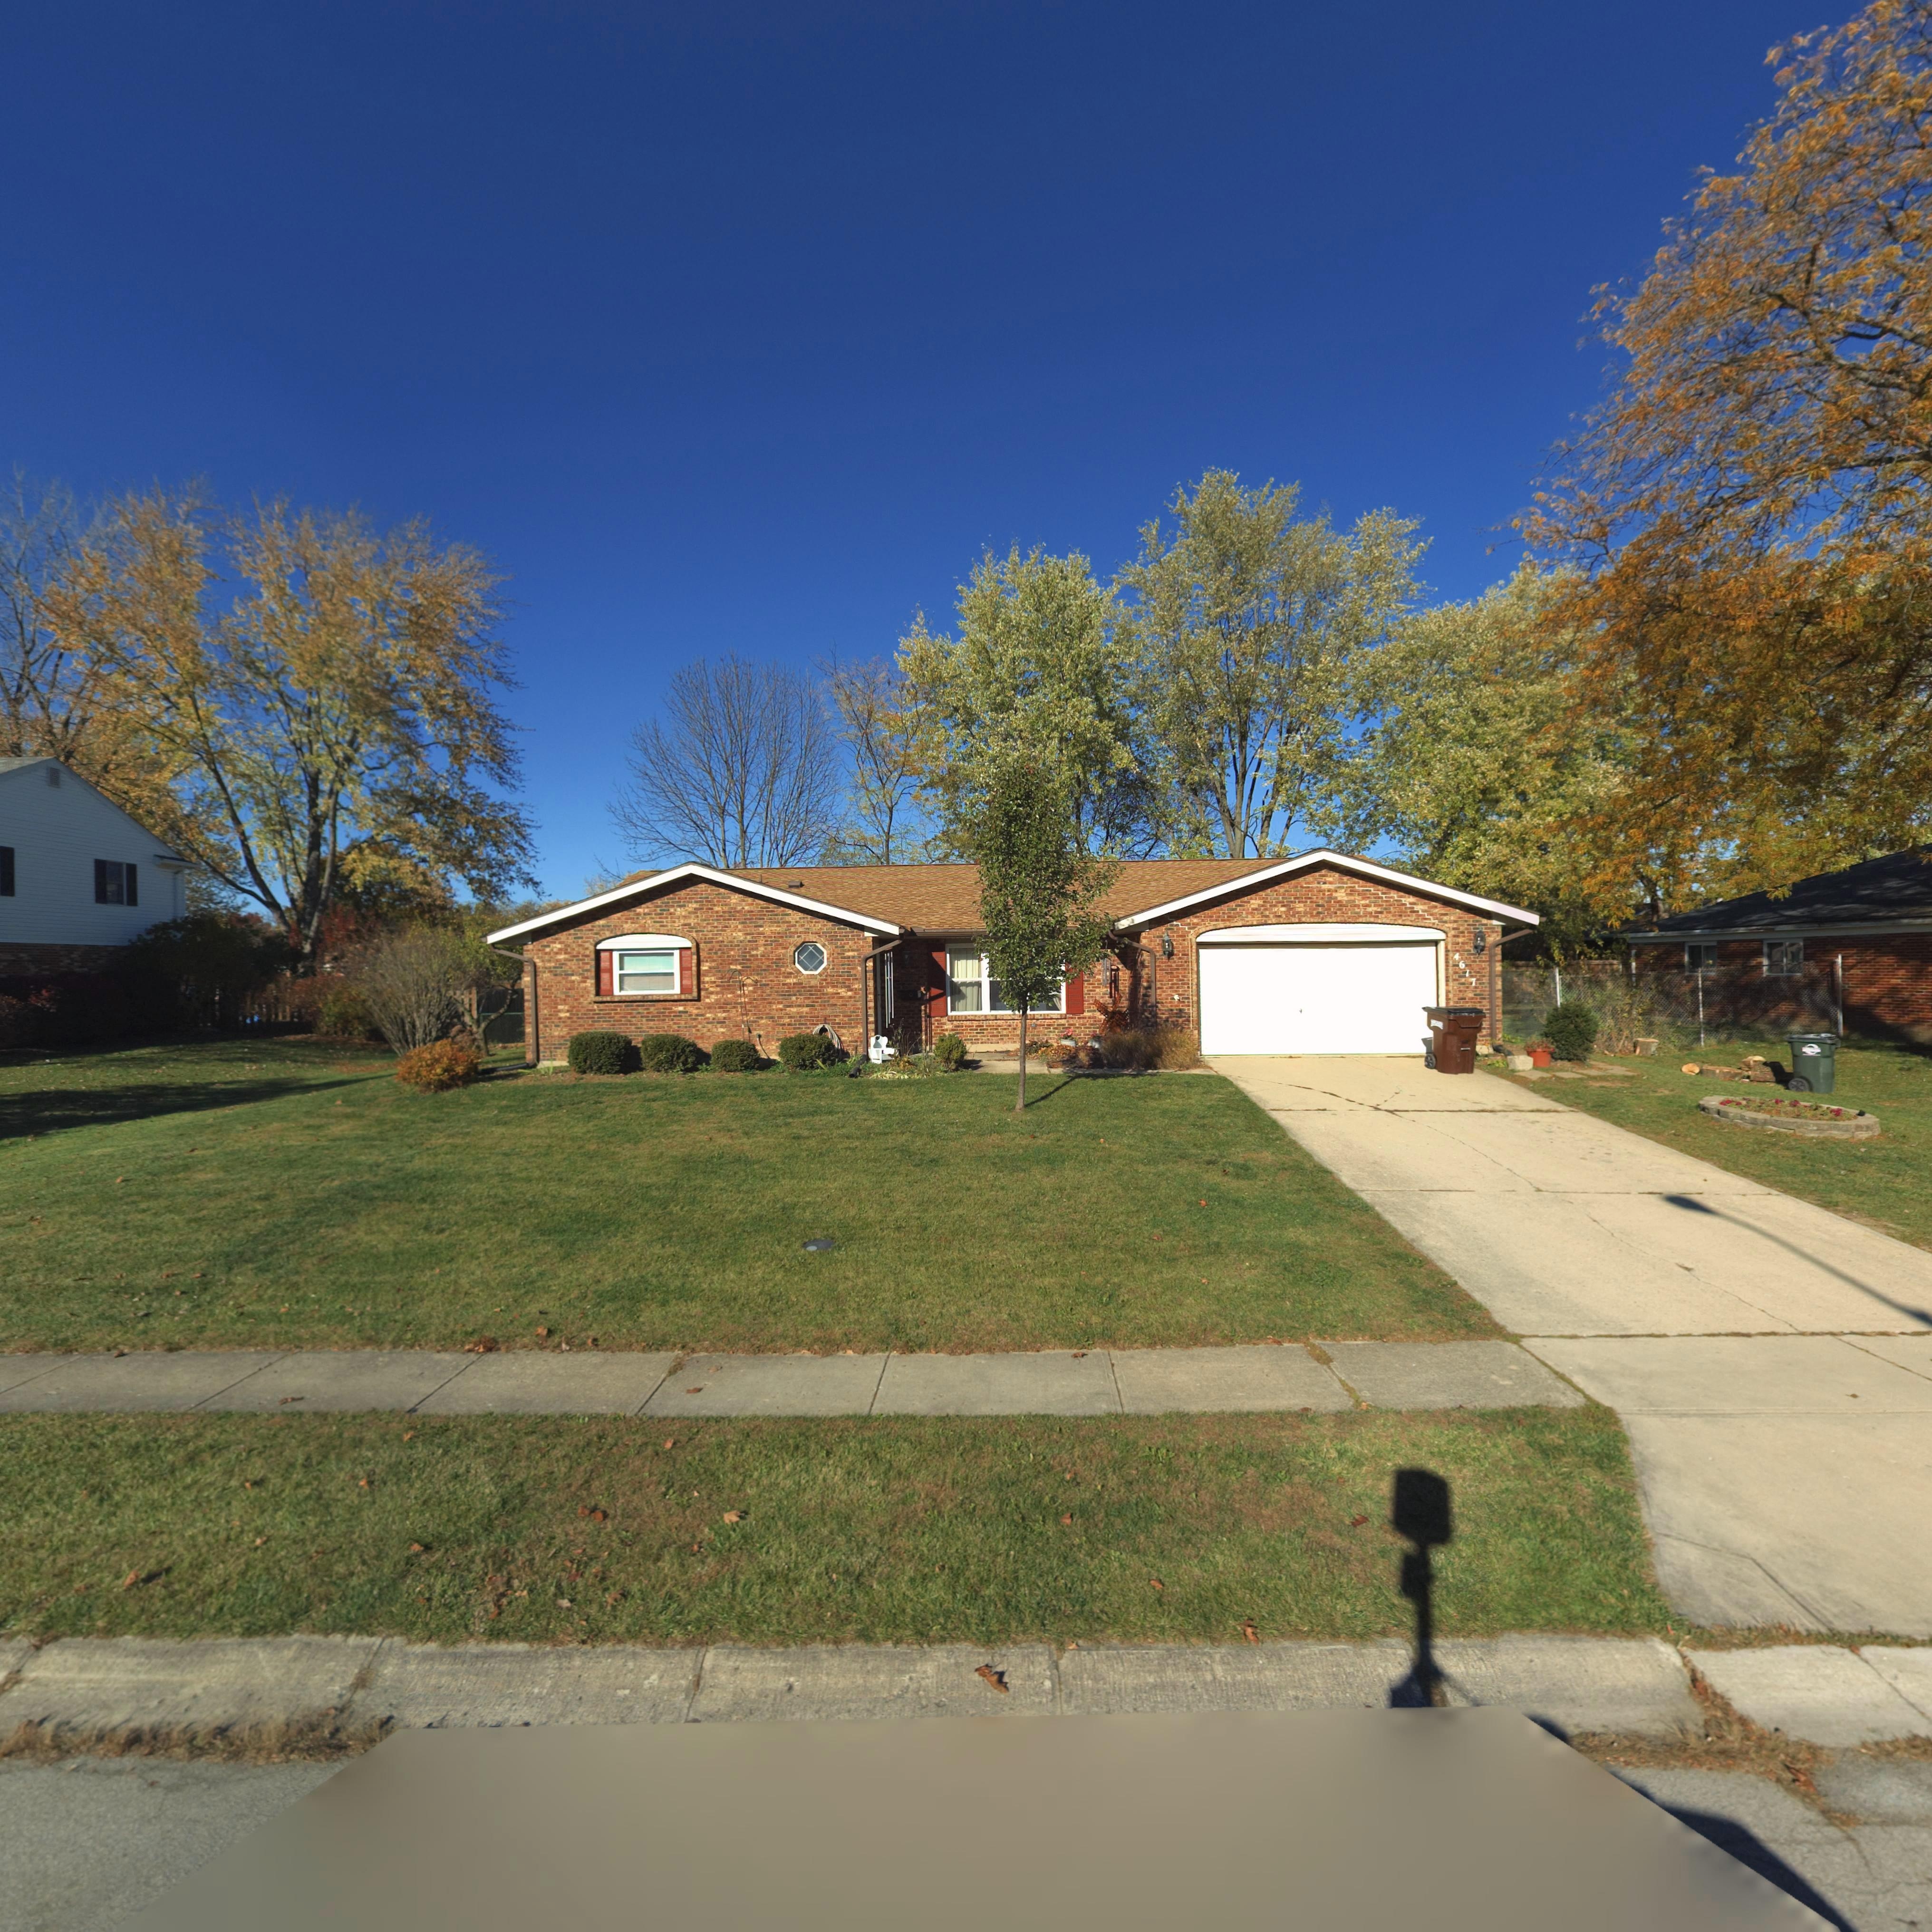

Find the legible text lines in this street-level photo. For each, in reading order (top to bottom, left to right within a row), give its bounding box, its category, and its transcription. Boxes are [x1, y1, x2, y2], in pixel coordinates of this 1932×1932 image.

[1453, 952, 1477, 987] StreetNumber: 4617